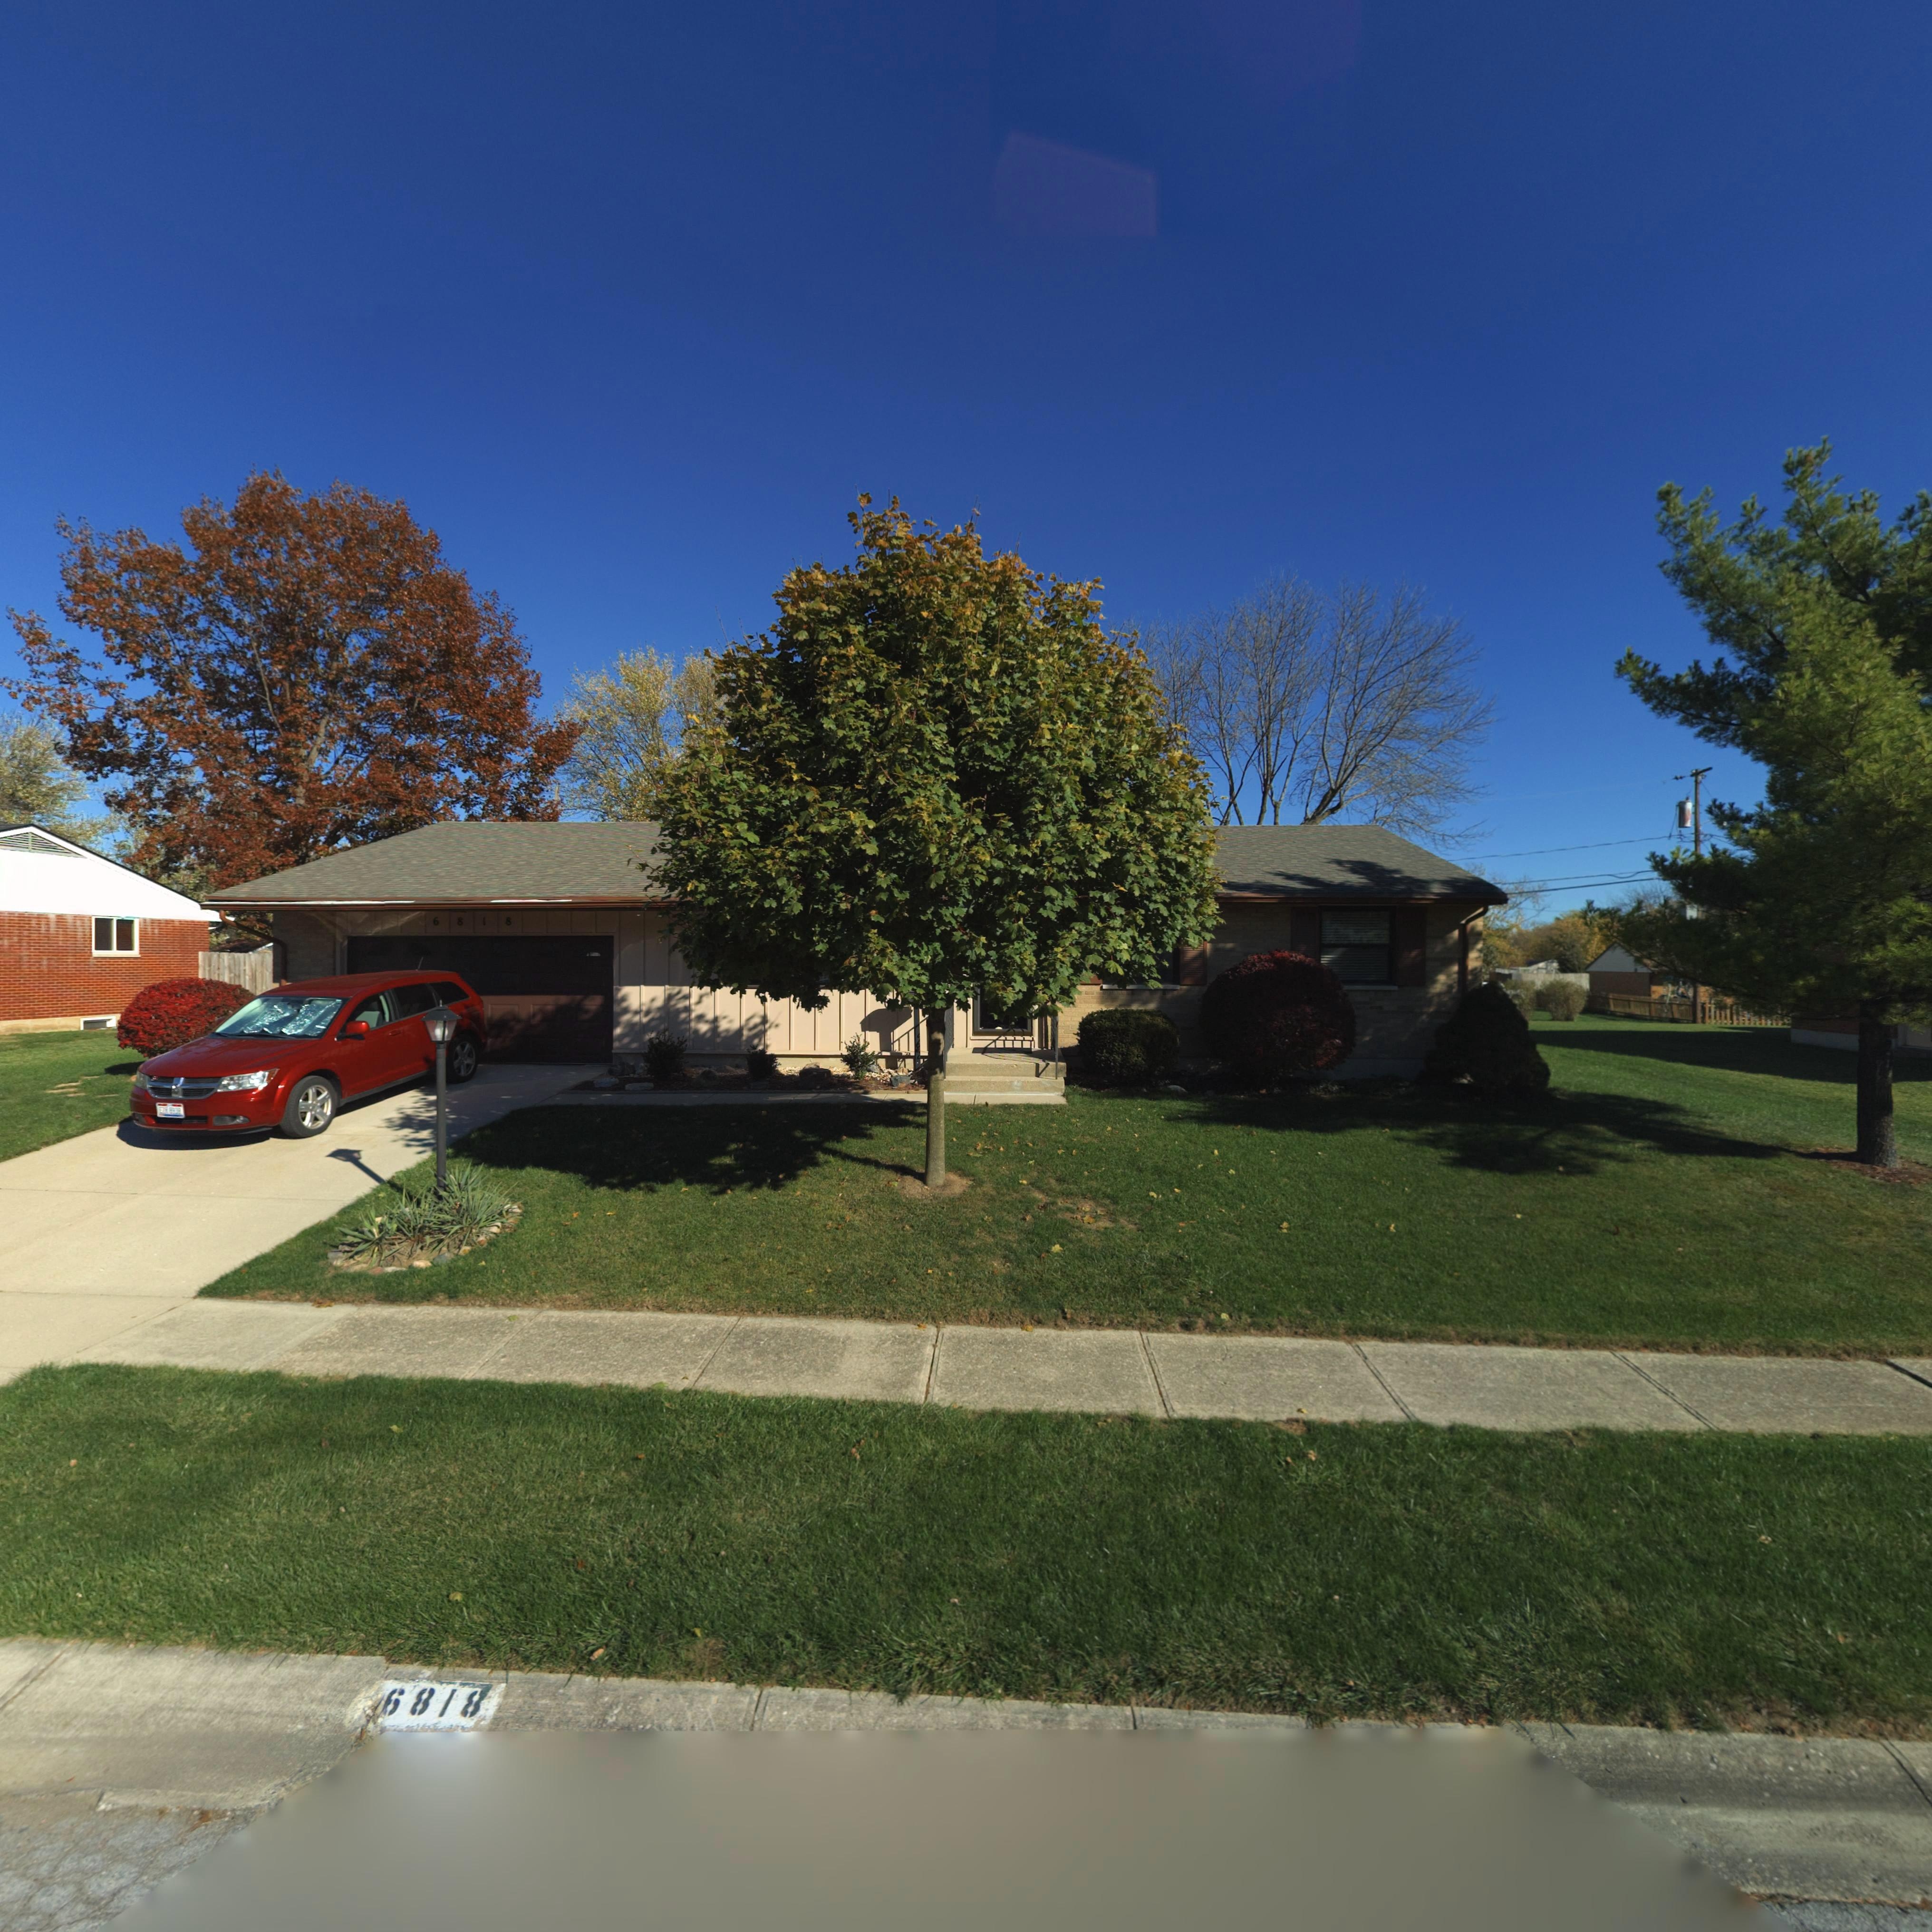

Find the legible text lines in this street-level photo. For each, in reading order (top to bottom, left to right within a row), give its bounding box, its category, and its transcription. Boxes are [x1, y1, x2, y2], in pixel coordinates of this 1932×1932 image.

[432, 916, 512, 926] StreetNumber: 6818
[381, 1686, 488, 1719] StreetNumber: 6818